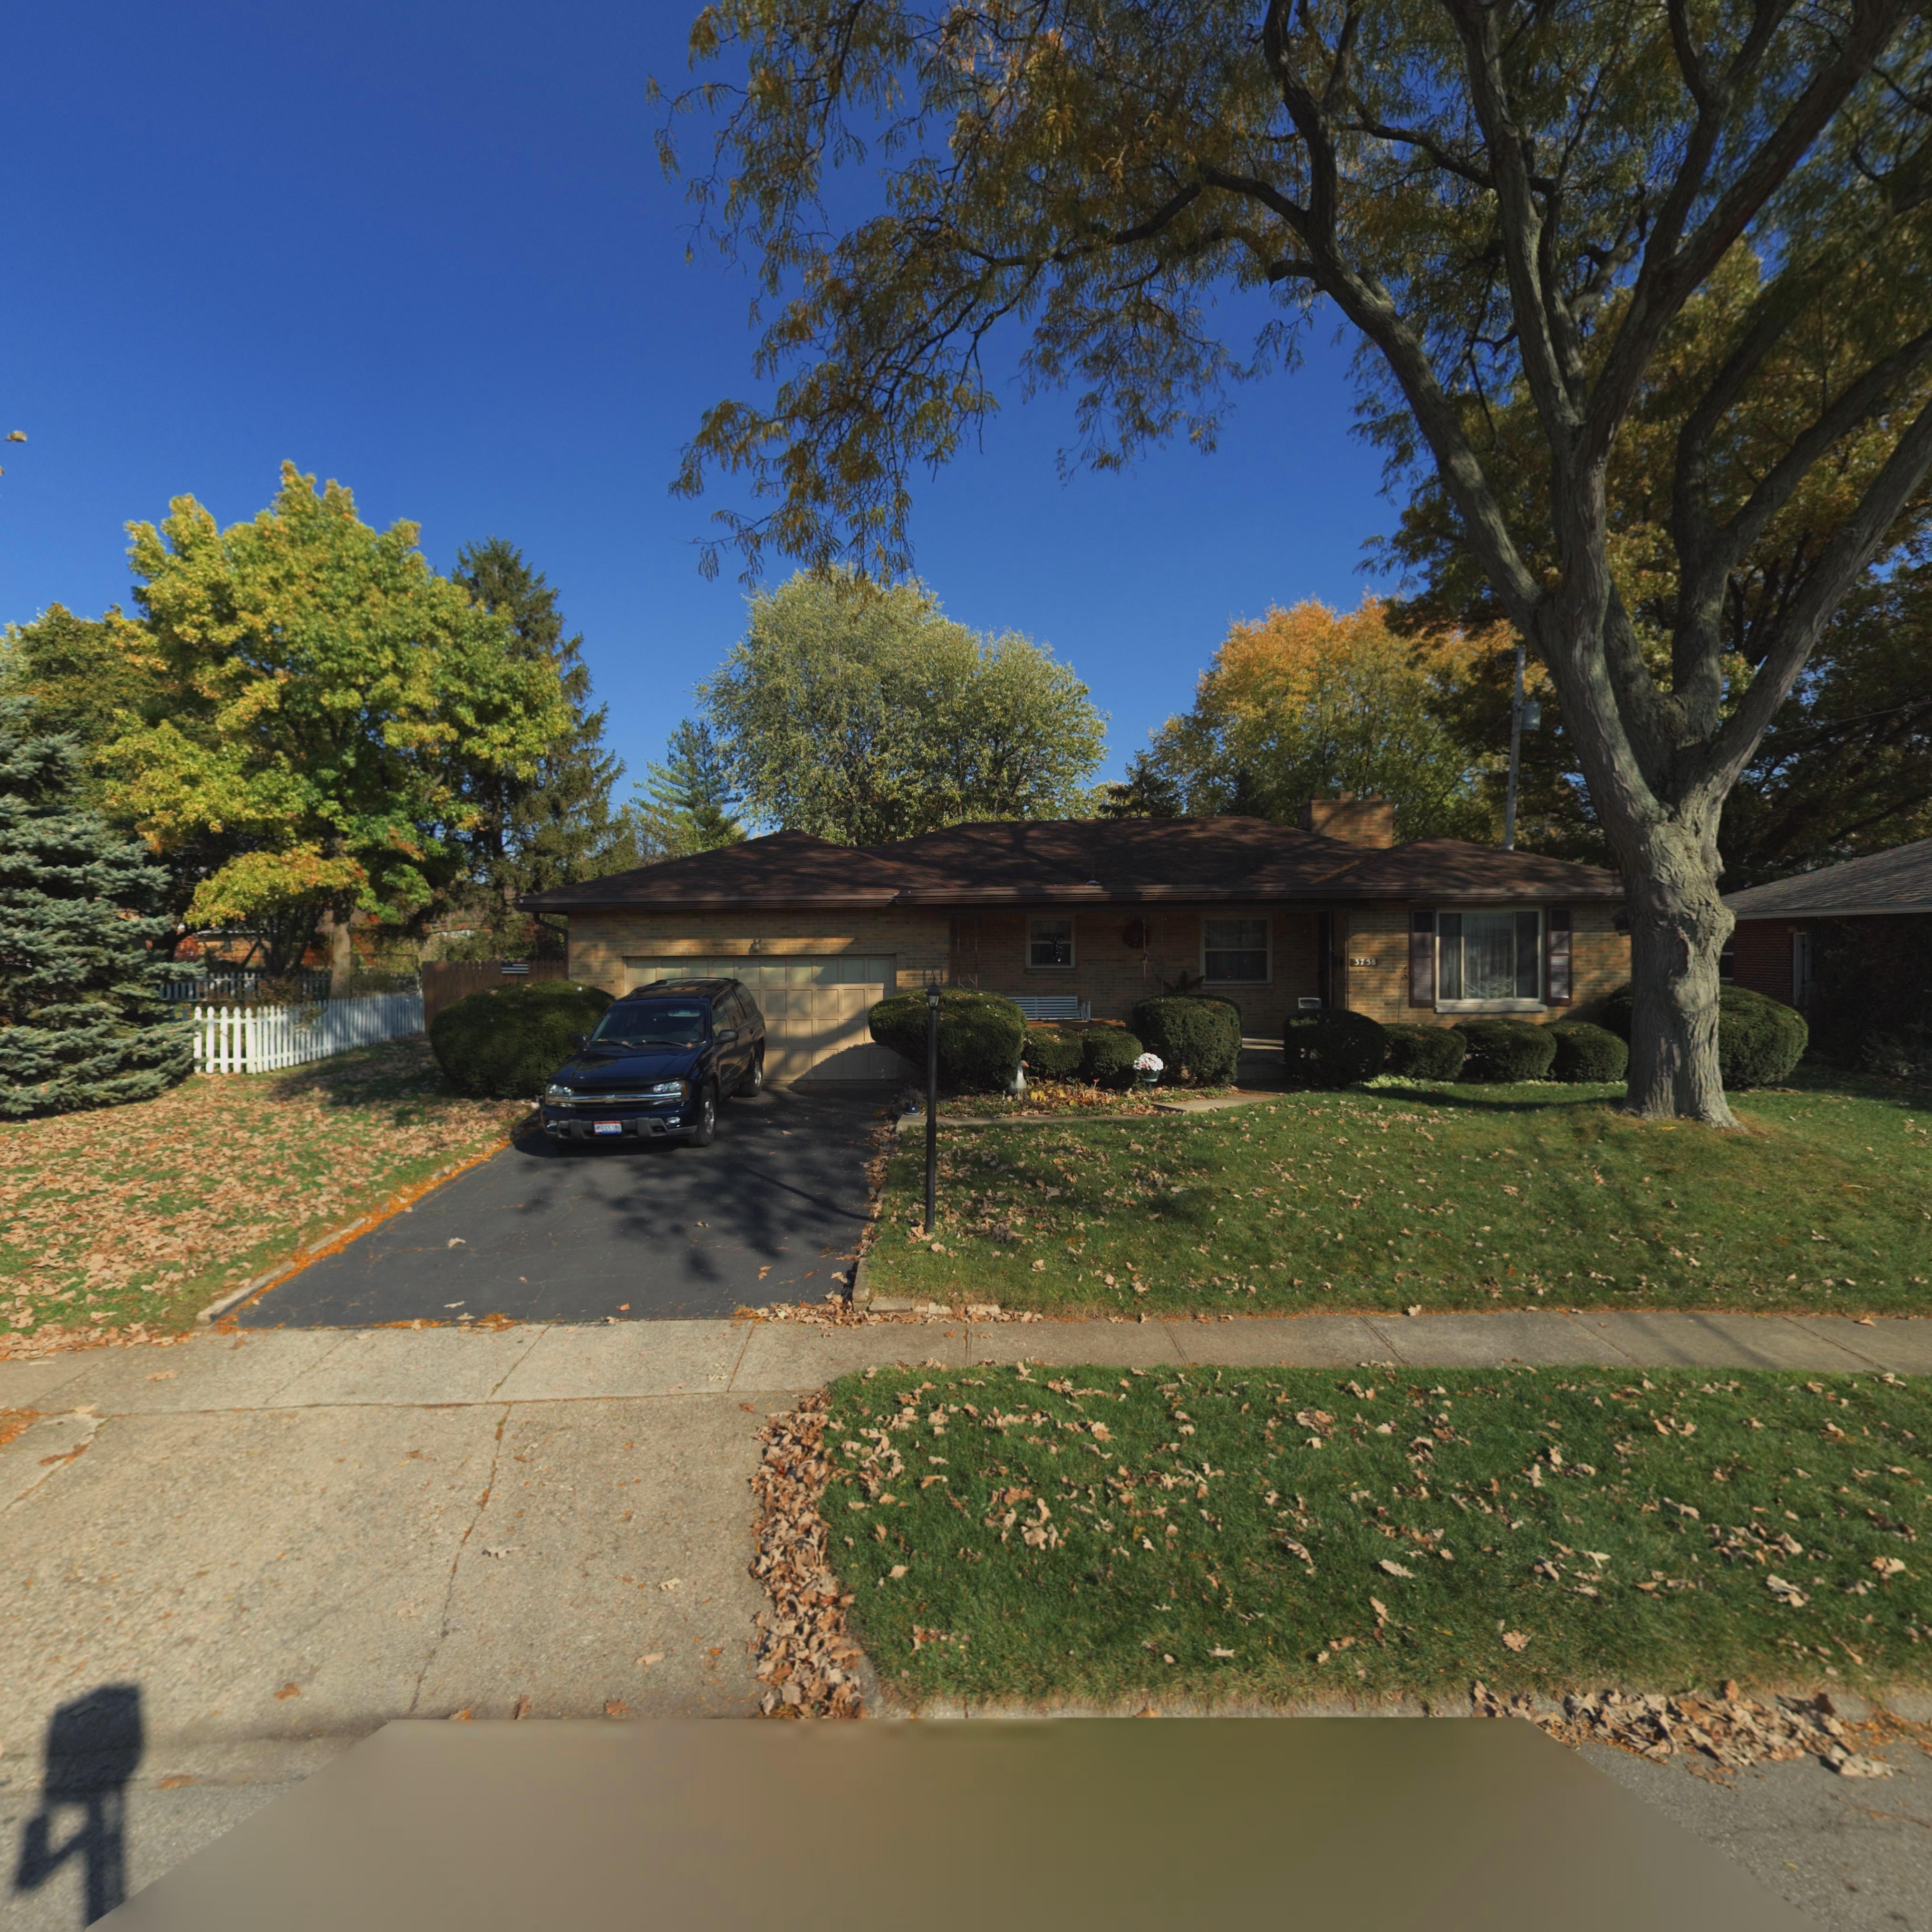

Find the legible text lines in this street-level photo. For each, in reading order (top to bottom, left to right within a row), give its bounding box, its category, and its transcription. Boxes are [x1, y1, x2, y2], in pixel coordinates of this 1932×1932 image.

[1354, 958, 1376, 966] StreetNumber: 3758
[601, 1124, 621, 1132] None: EG53BH